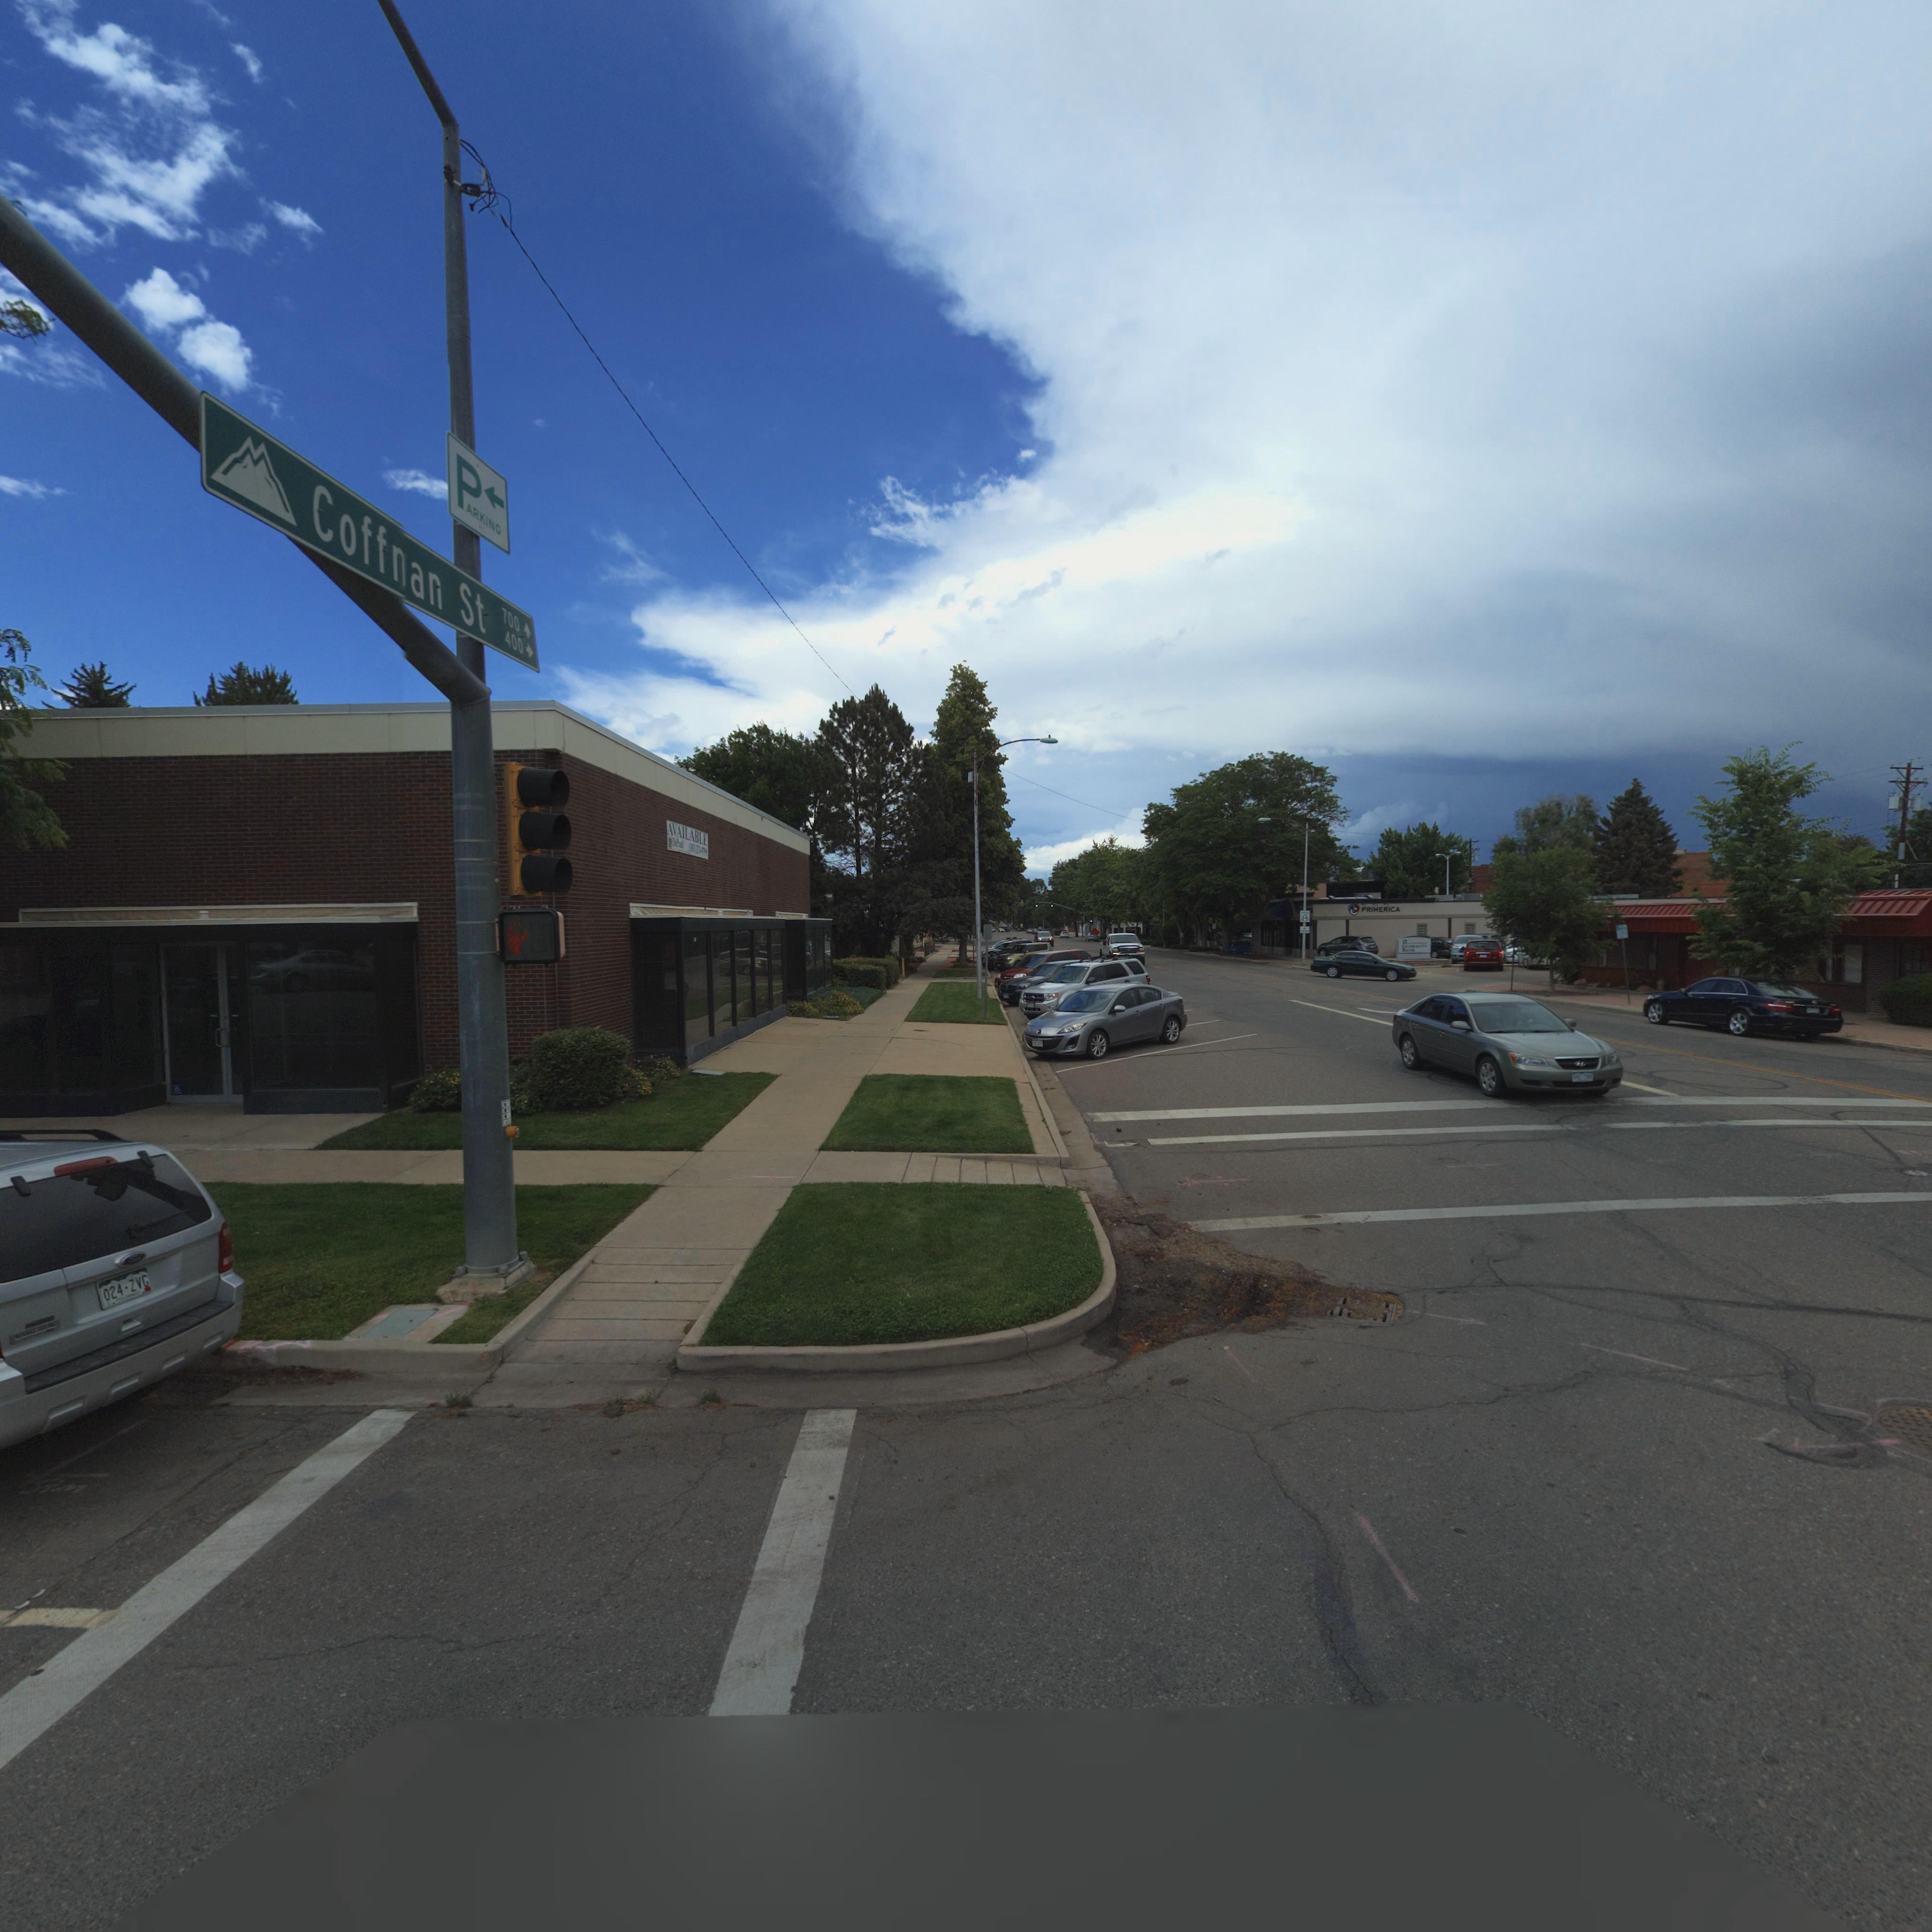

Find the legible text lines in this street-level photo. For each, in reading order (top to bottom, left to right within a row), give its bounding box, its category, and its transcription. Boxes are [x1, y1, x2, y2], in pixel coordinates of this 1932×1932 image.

[313, 483, 487, 633] StreetName: Coffnan St
[502, 608, 520, 633] StreetNumber: 700
[504, 631, 533, 658] StreetNumberRange: 400 ->
[1362, 907, 1400, 912] BusinessName: PRIMERICA
[1402, 947, 1415, 952] BusinessName: BANK
[1401, 944, 1427, 947] BusinessName: GUARANTY